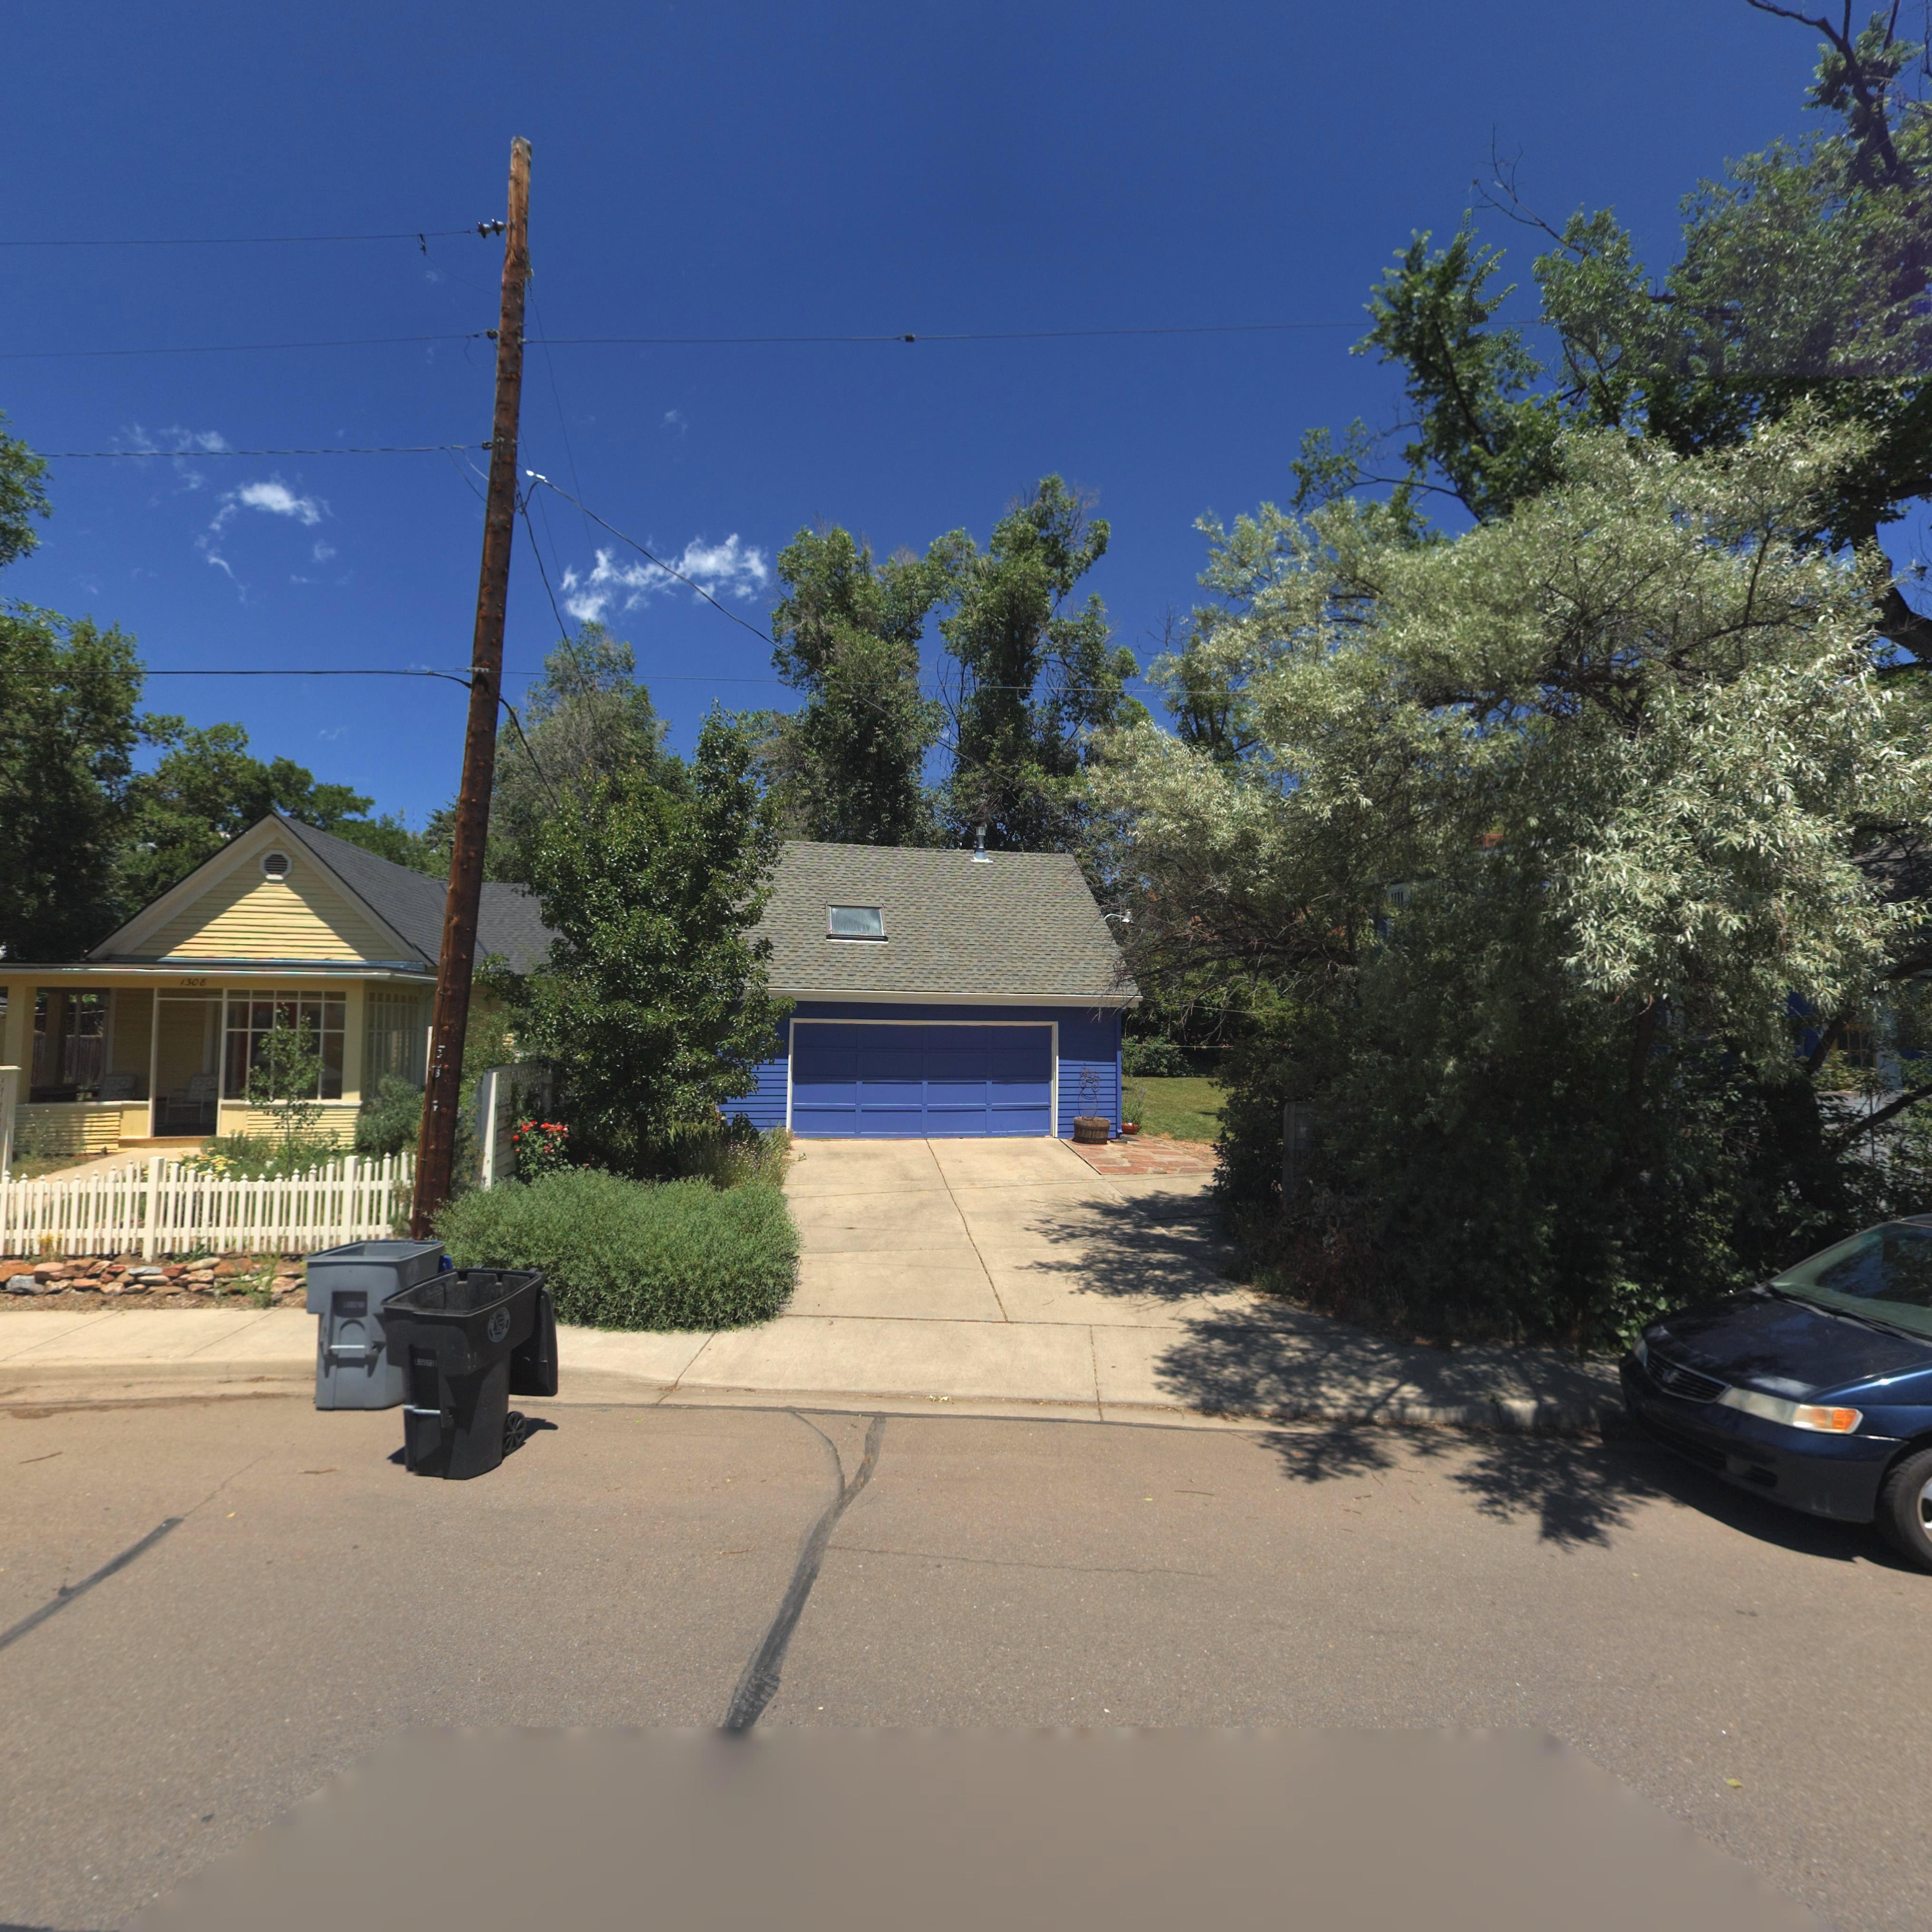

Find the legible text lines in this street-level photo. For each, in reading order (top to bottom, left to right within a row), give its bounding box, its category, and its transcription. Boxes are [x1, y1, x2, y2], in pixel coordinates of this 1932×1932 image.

[180, 978, 206, 986] StreetName: 1308